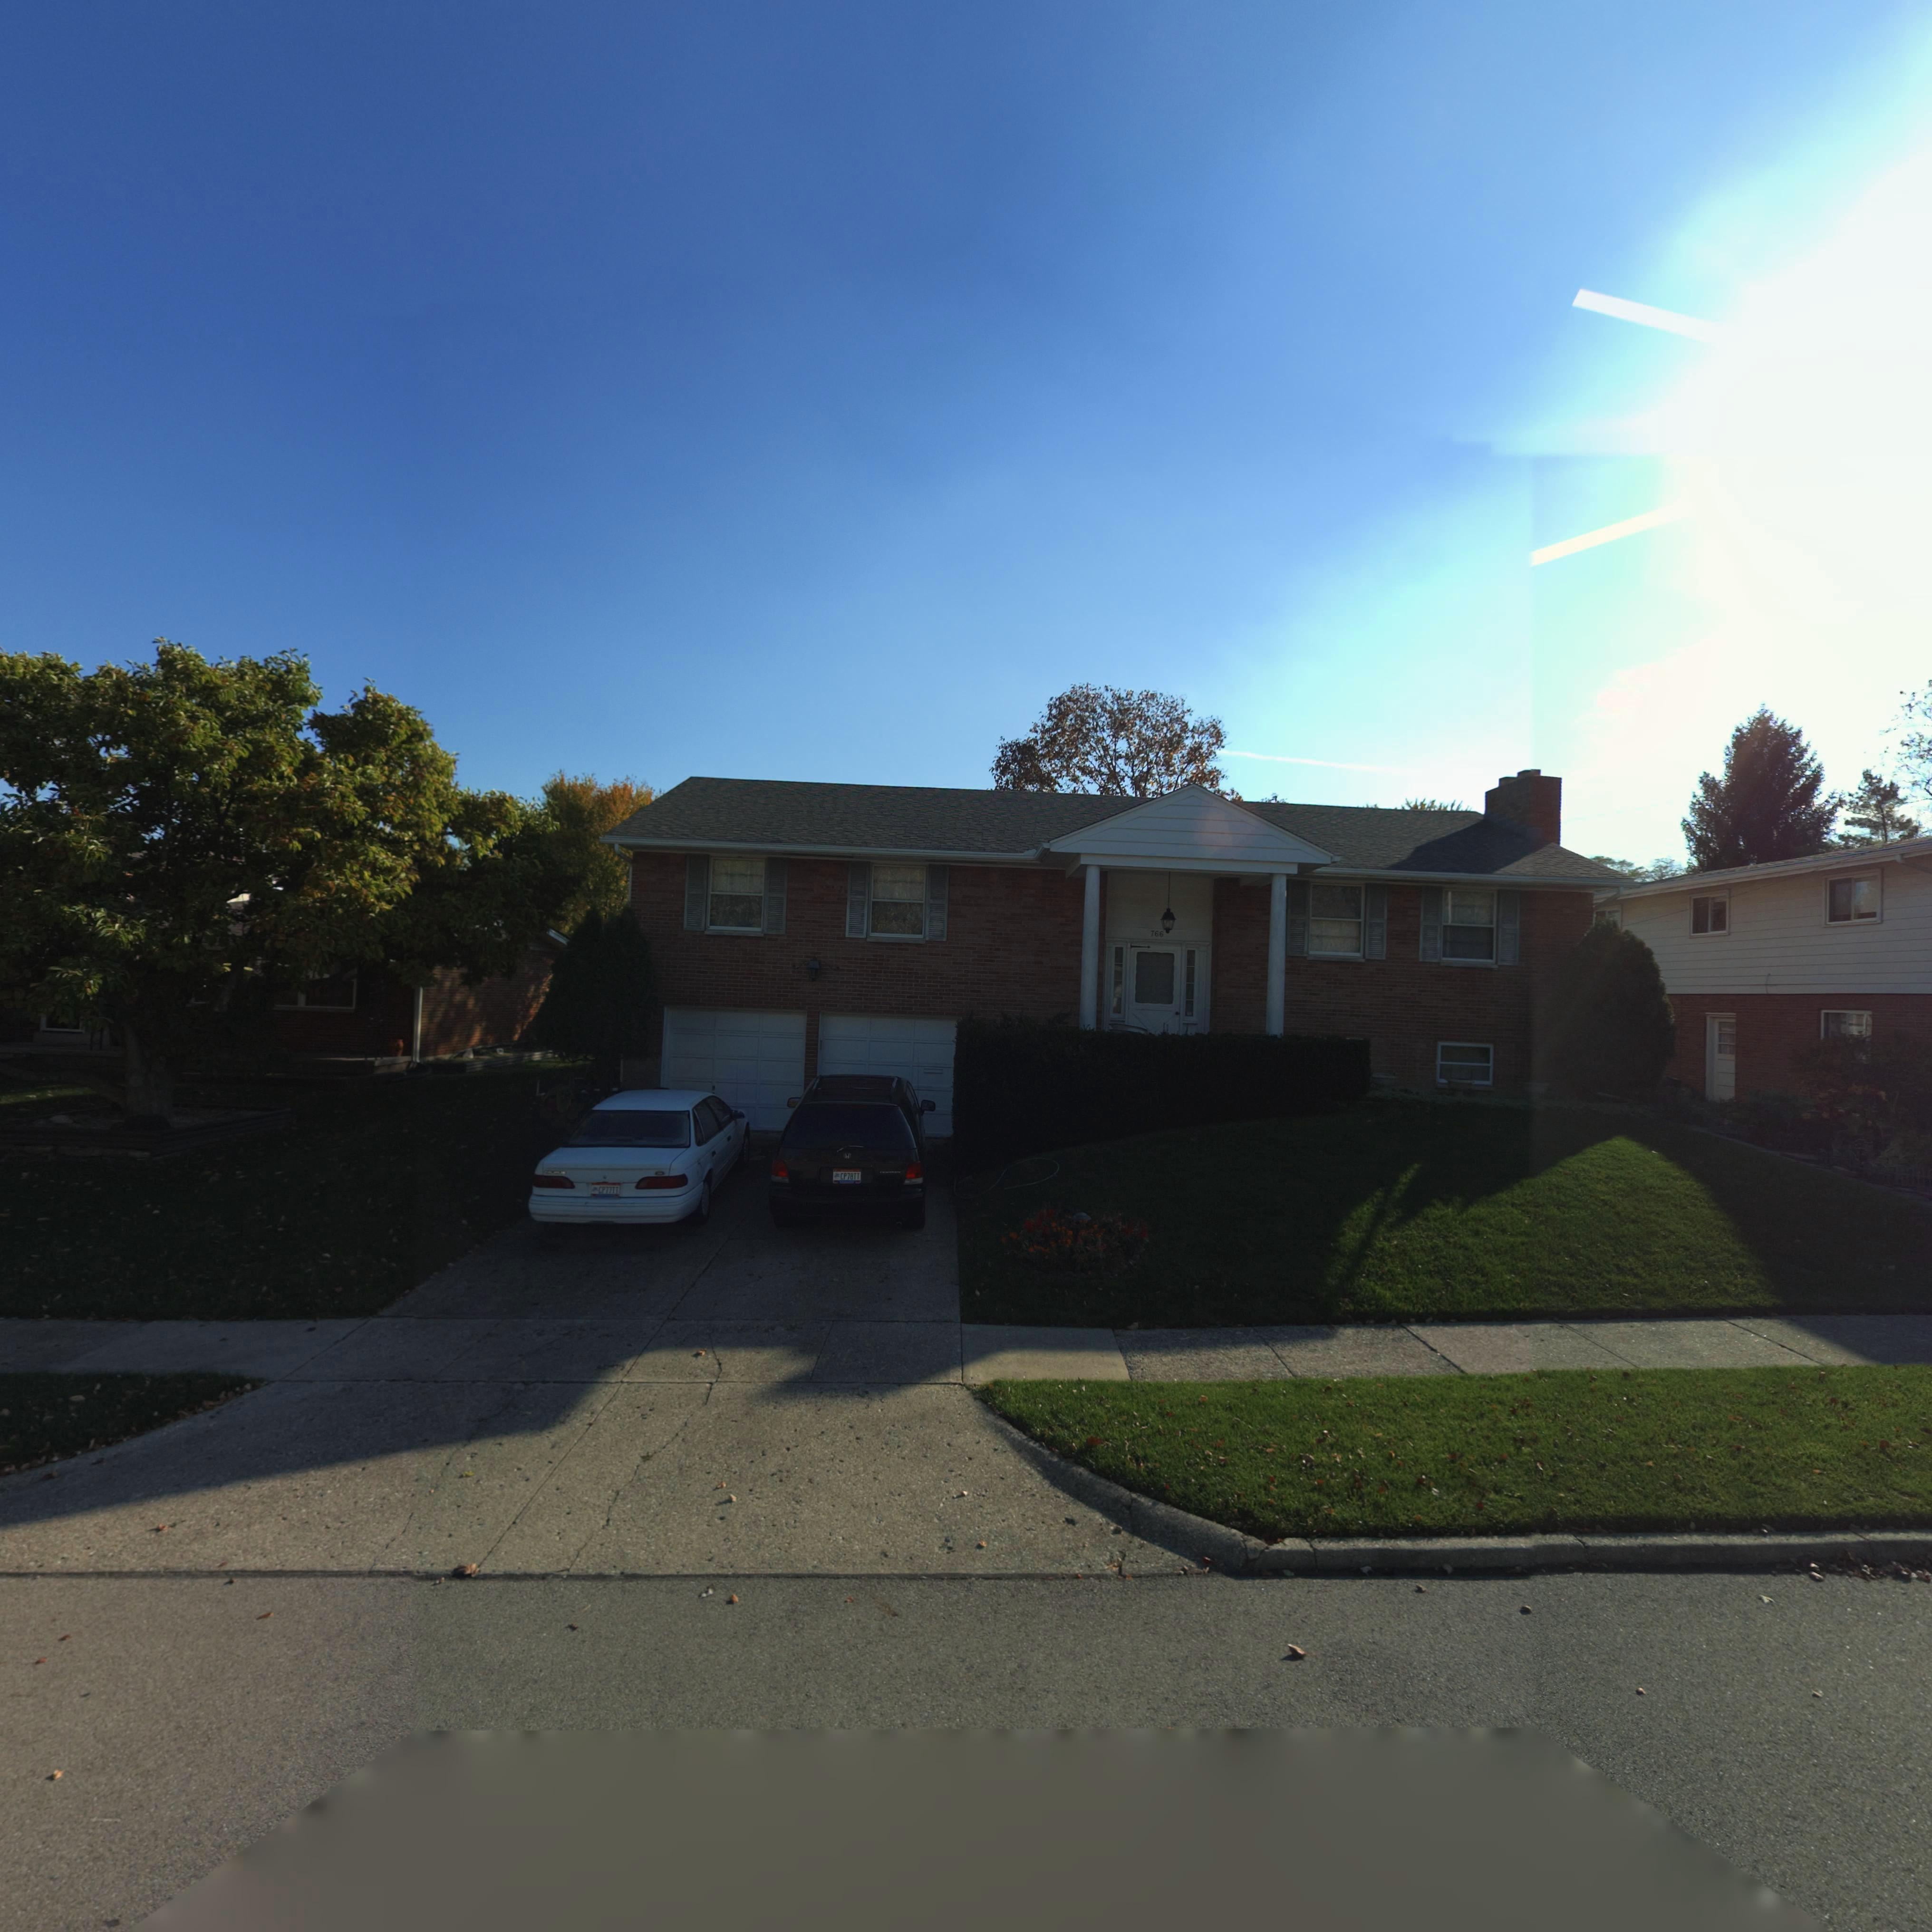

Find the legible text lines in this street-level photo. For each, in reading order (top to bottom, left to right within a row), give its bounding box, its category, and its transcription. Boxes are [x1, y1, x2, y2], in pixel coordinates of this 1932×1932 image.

[1150, 929, 1164, 937] StreetNumber: 766